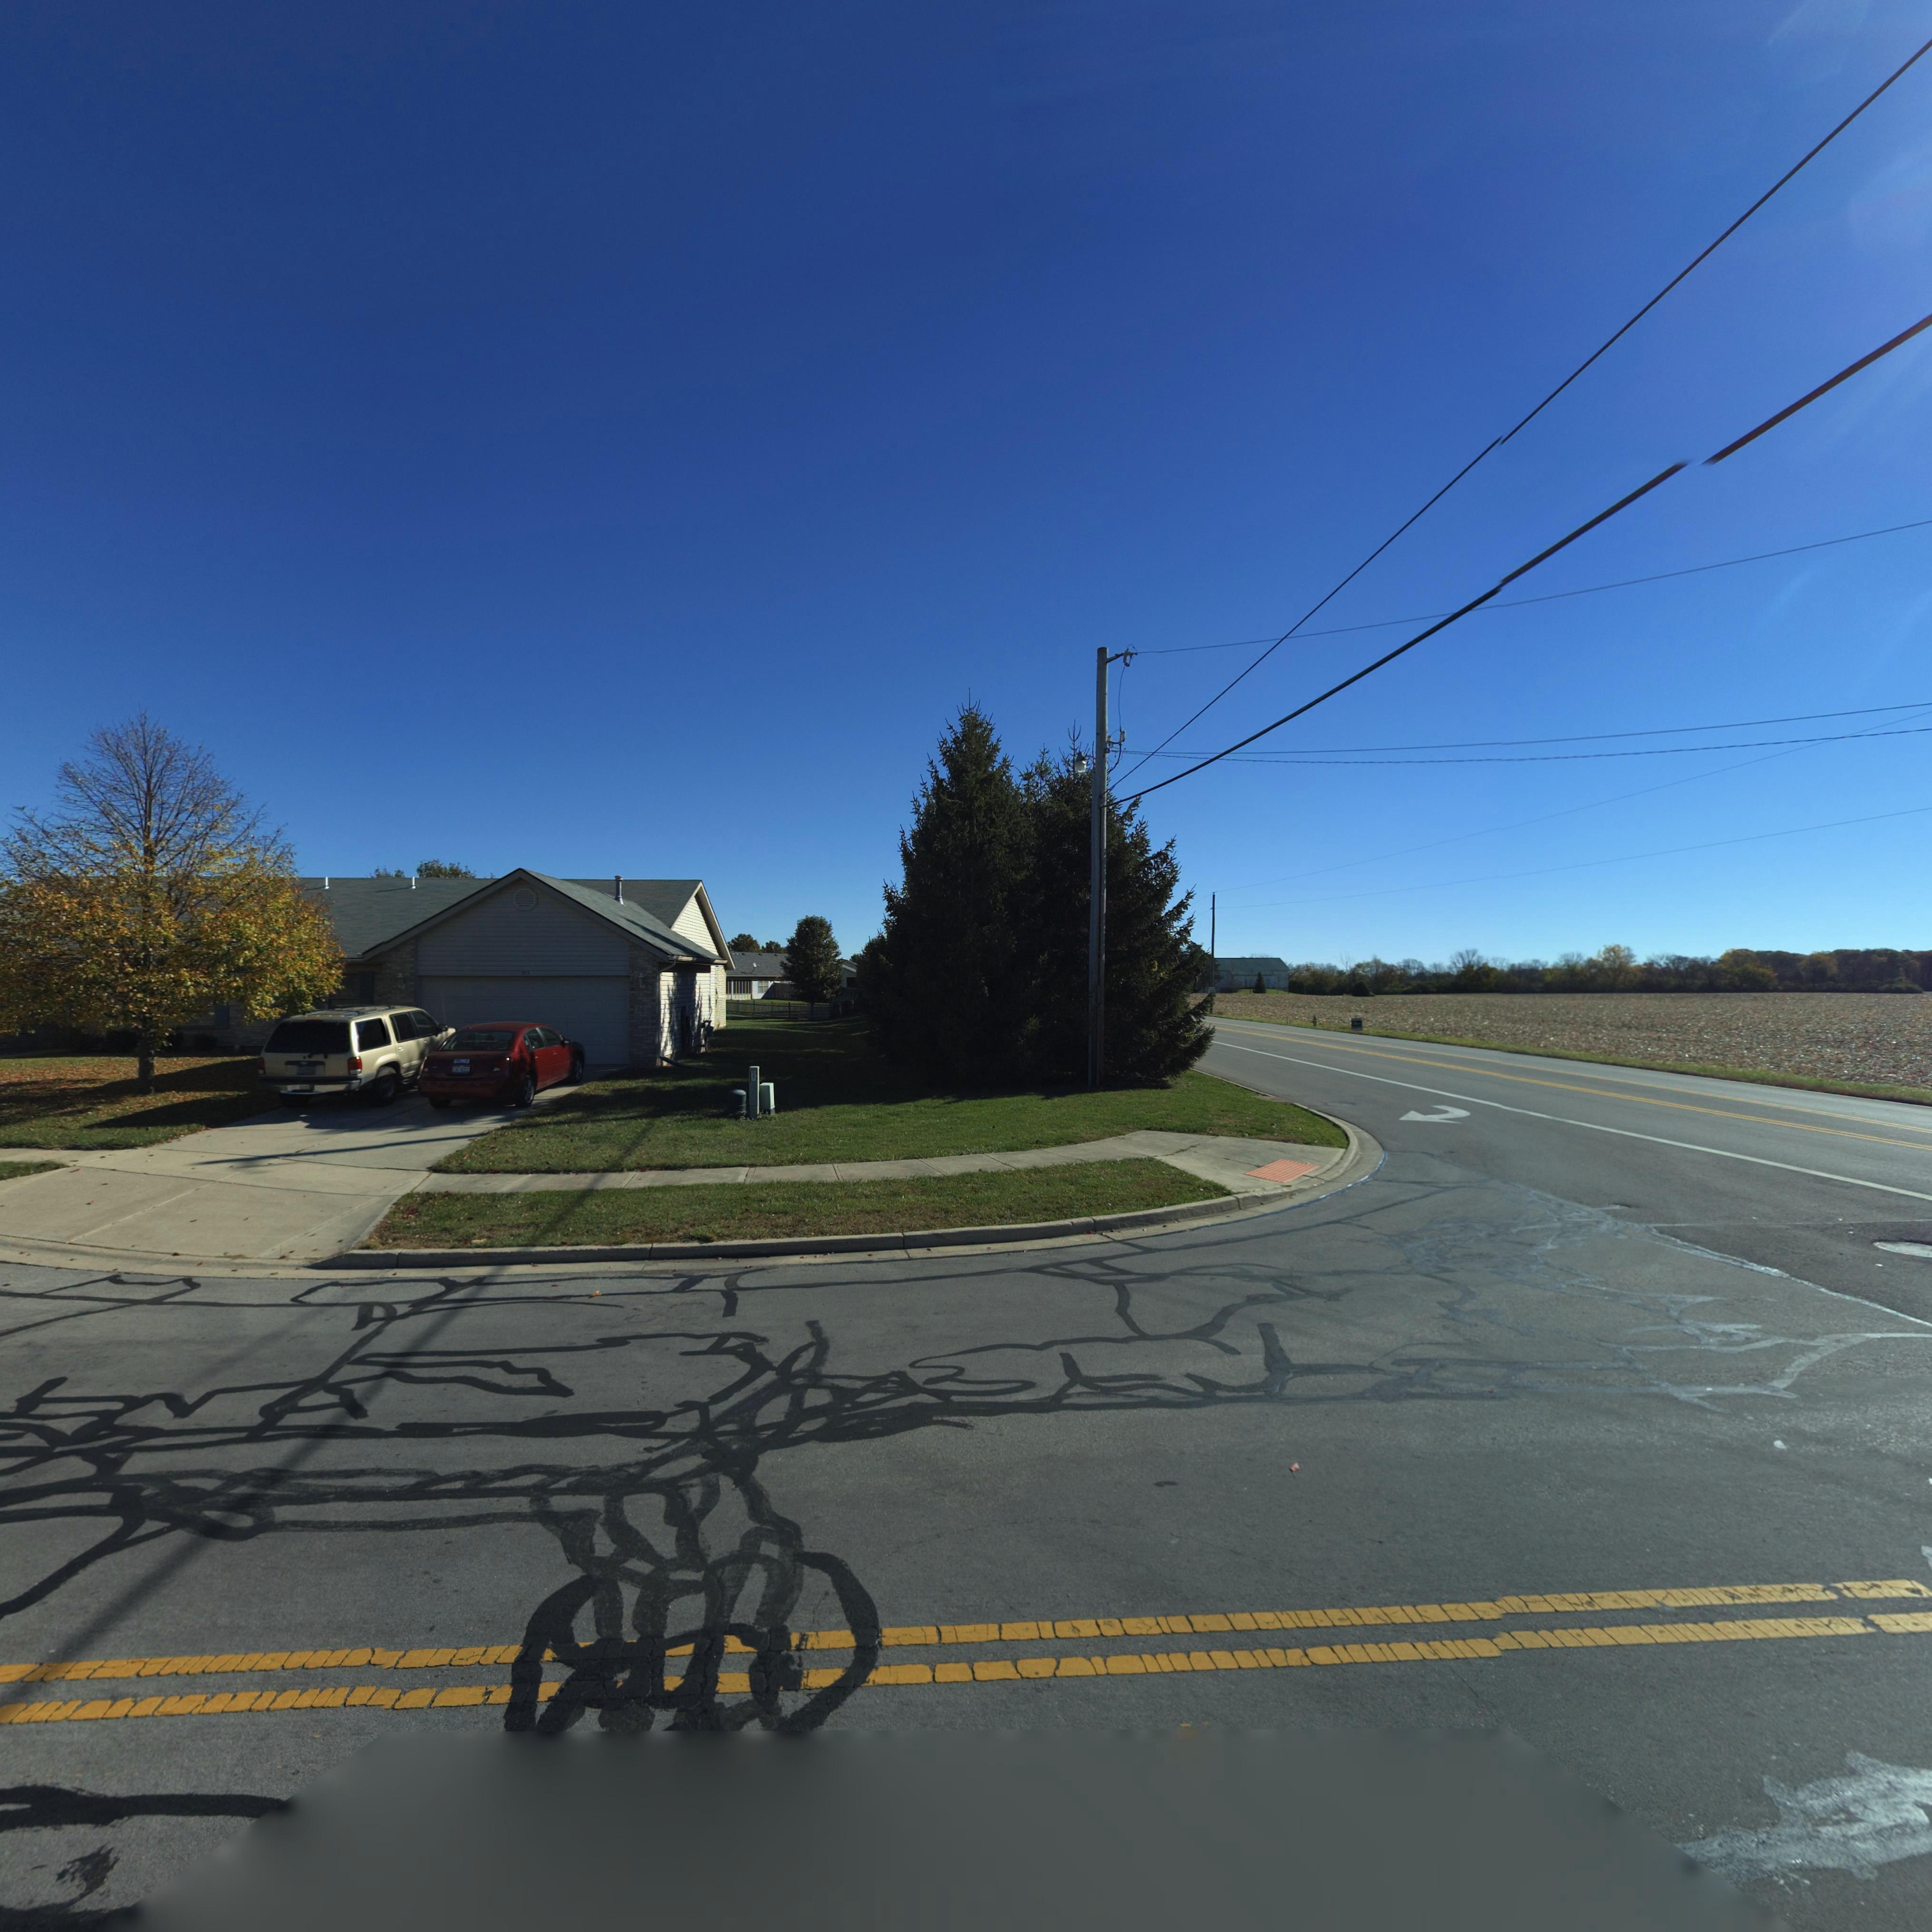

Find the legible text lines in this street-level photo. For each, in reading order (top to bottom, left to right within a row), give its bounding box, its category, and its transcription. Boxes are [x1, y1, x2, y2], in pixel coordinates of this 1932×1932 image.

[521, 970, 530, 975] StreetNumber: *55